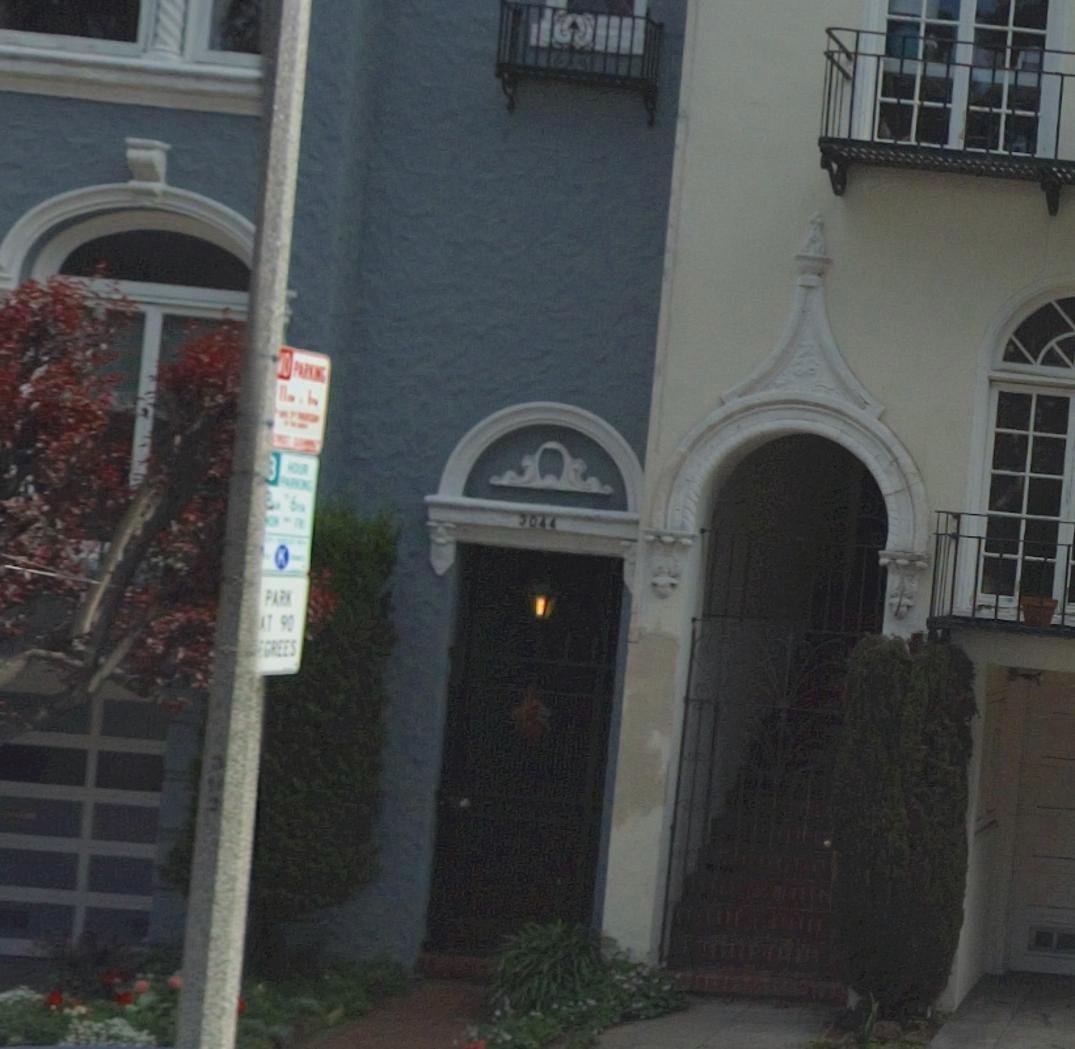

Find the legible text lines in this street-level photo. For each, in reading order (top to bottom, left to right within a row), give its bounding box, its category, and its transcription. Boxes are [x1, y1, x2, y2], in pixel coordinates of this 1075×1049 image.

[280, 349, 294, 380] None: O
[516, 511, 559, 532] StreetNumber: 3044
[275, 545, 288, 568] None: K
[262, 586, 296, 610] None: PARK
[277, 611, 298, 635] None: 90
[275, 637, 300, 659] None: EES